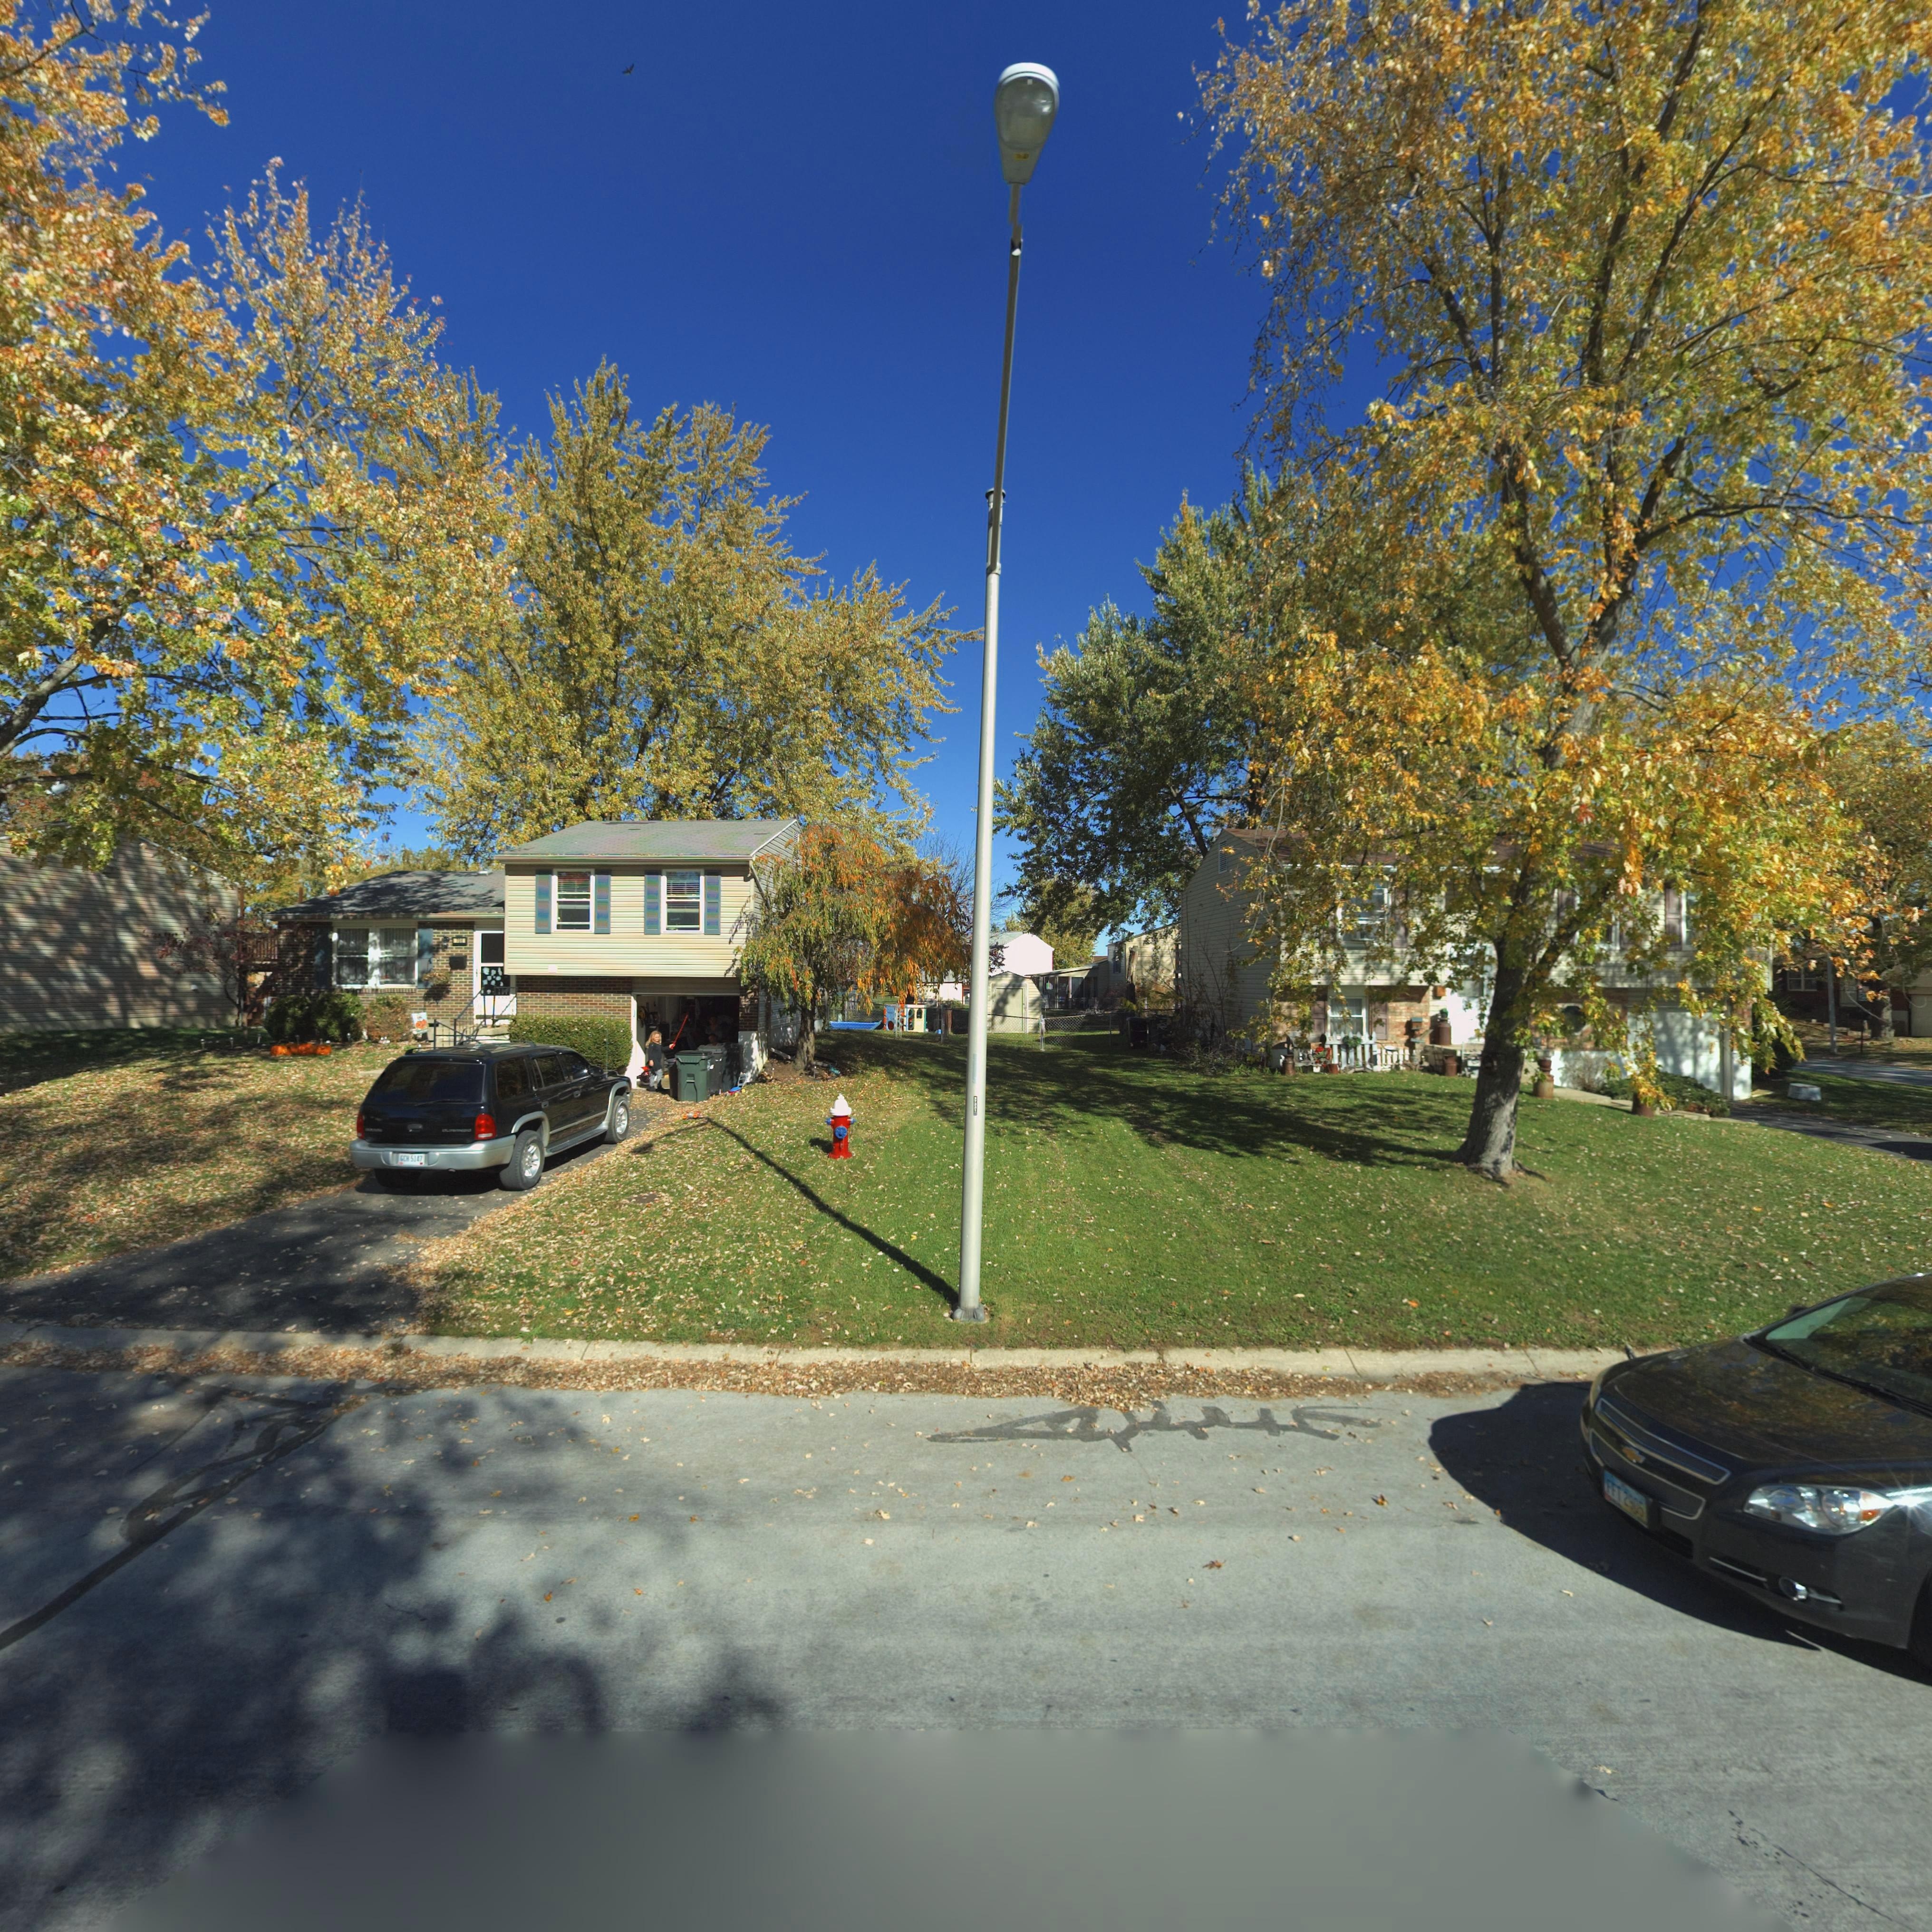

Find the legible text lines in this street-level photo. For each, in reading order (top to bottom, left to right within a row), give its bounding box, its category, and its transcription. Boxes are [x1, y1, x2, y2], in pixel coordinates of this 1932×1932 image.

[456, 938, 463, 943] StreetNumber: 706
[397, 1153, 423, 1163] None: *CH 5147
[1605, 1476, 1646, 1521] None: FFT 2**5